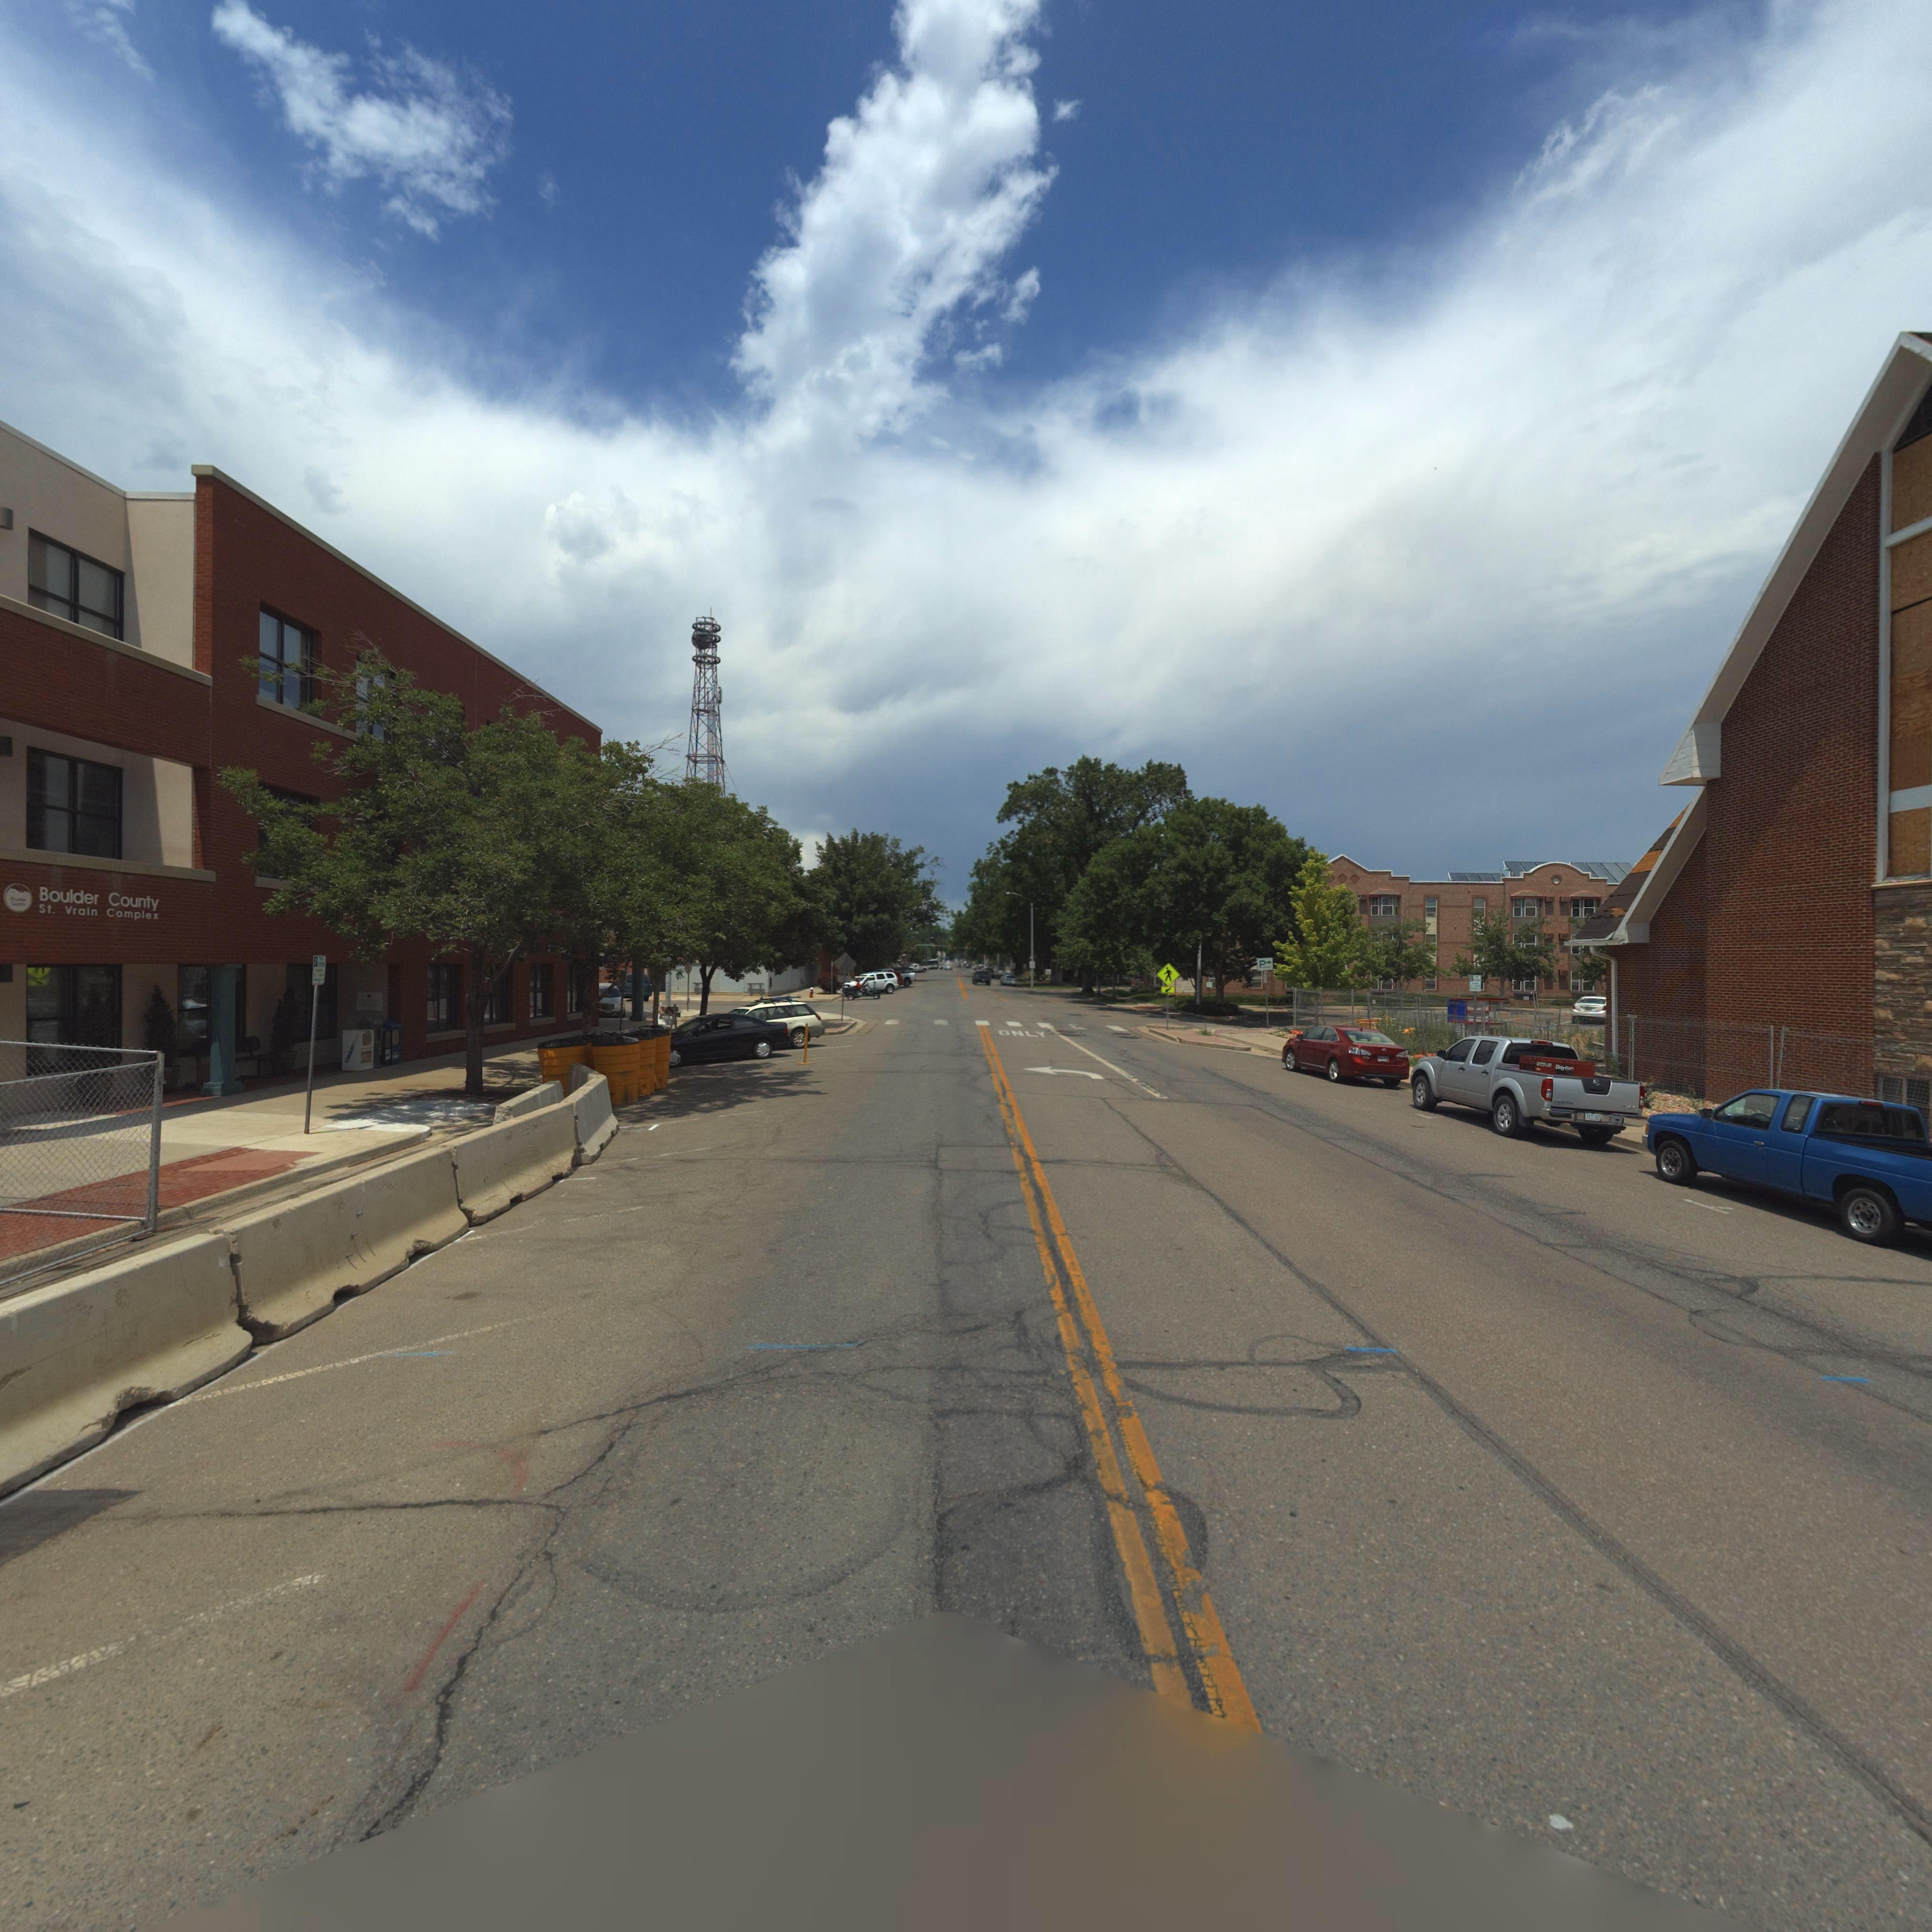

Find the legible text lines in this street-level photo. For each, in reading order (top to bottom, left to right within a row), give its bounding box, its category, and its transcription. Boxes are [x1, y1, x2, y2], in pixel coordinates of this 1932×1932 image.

[39, 886, 160, 911] BusinessName: Boulder County
[39, 903, 158, 920] BusinessName: St. Vrain Complex